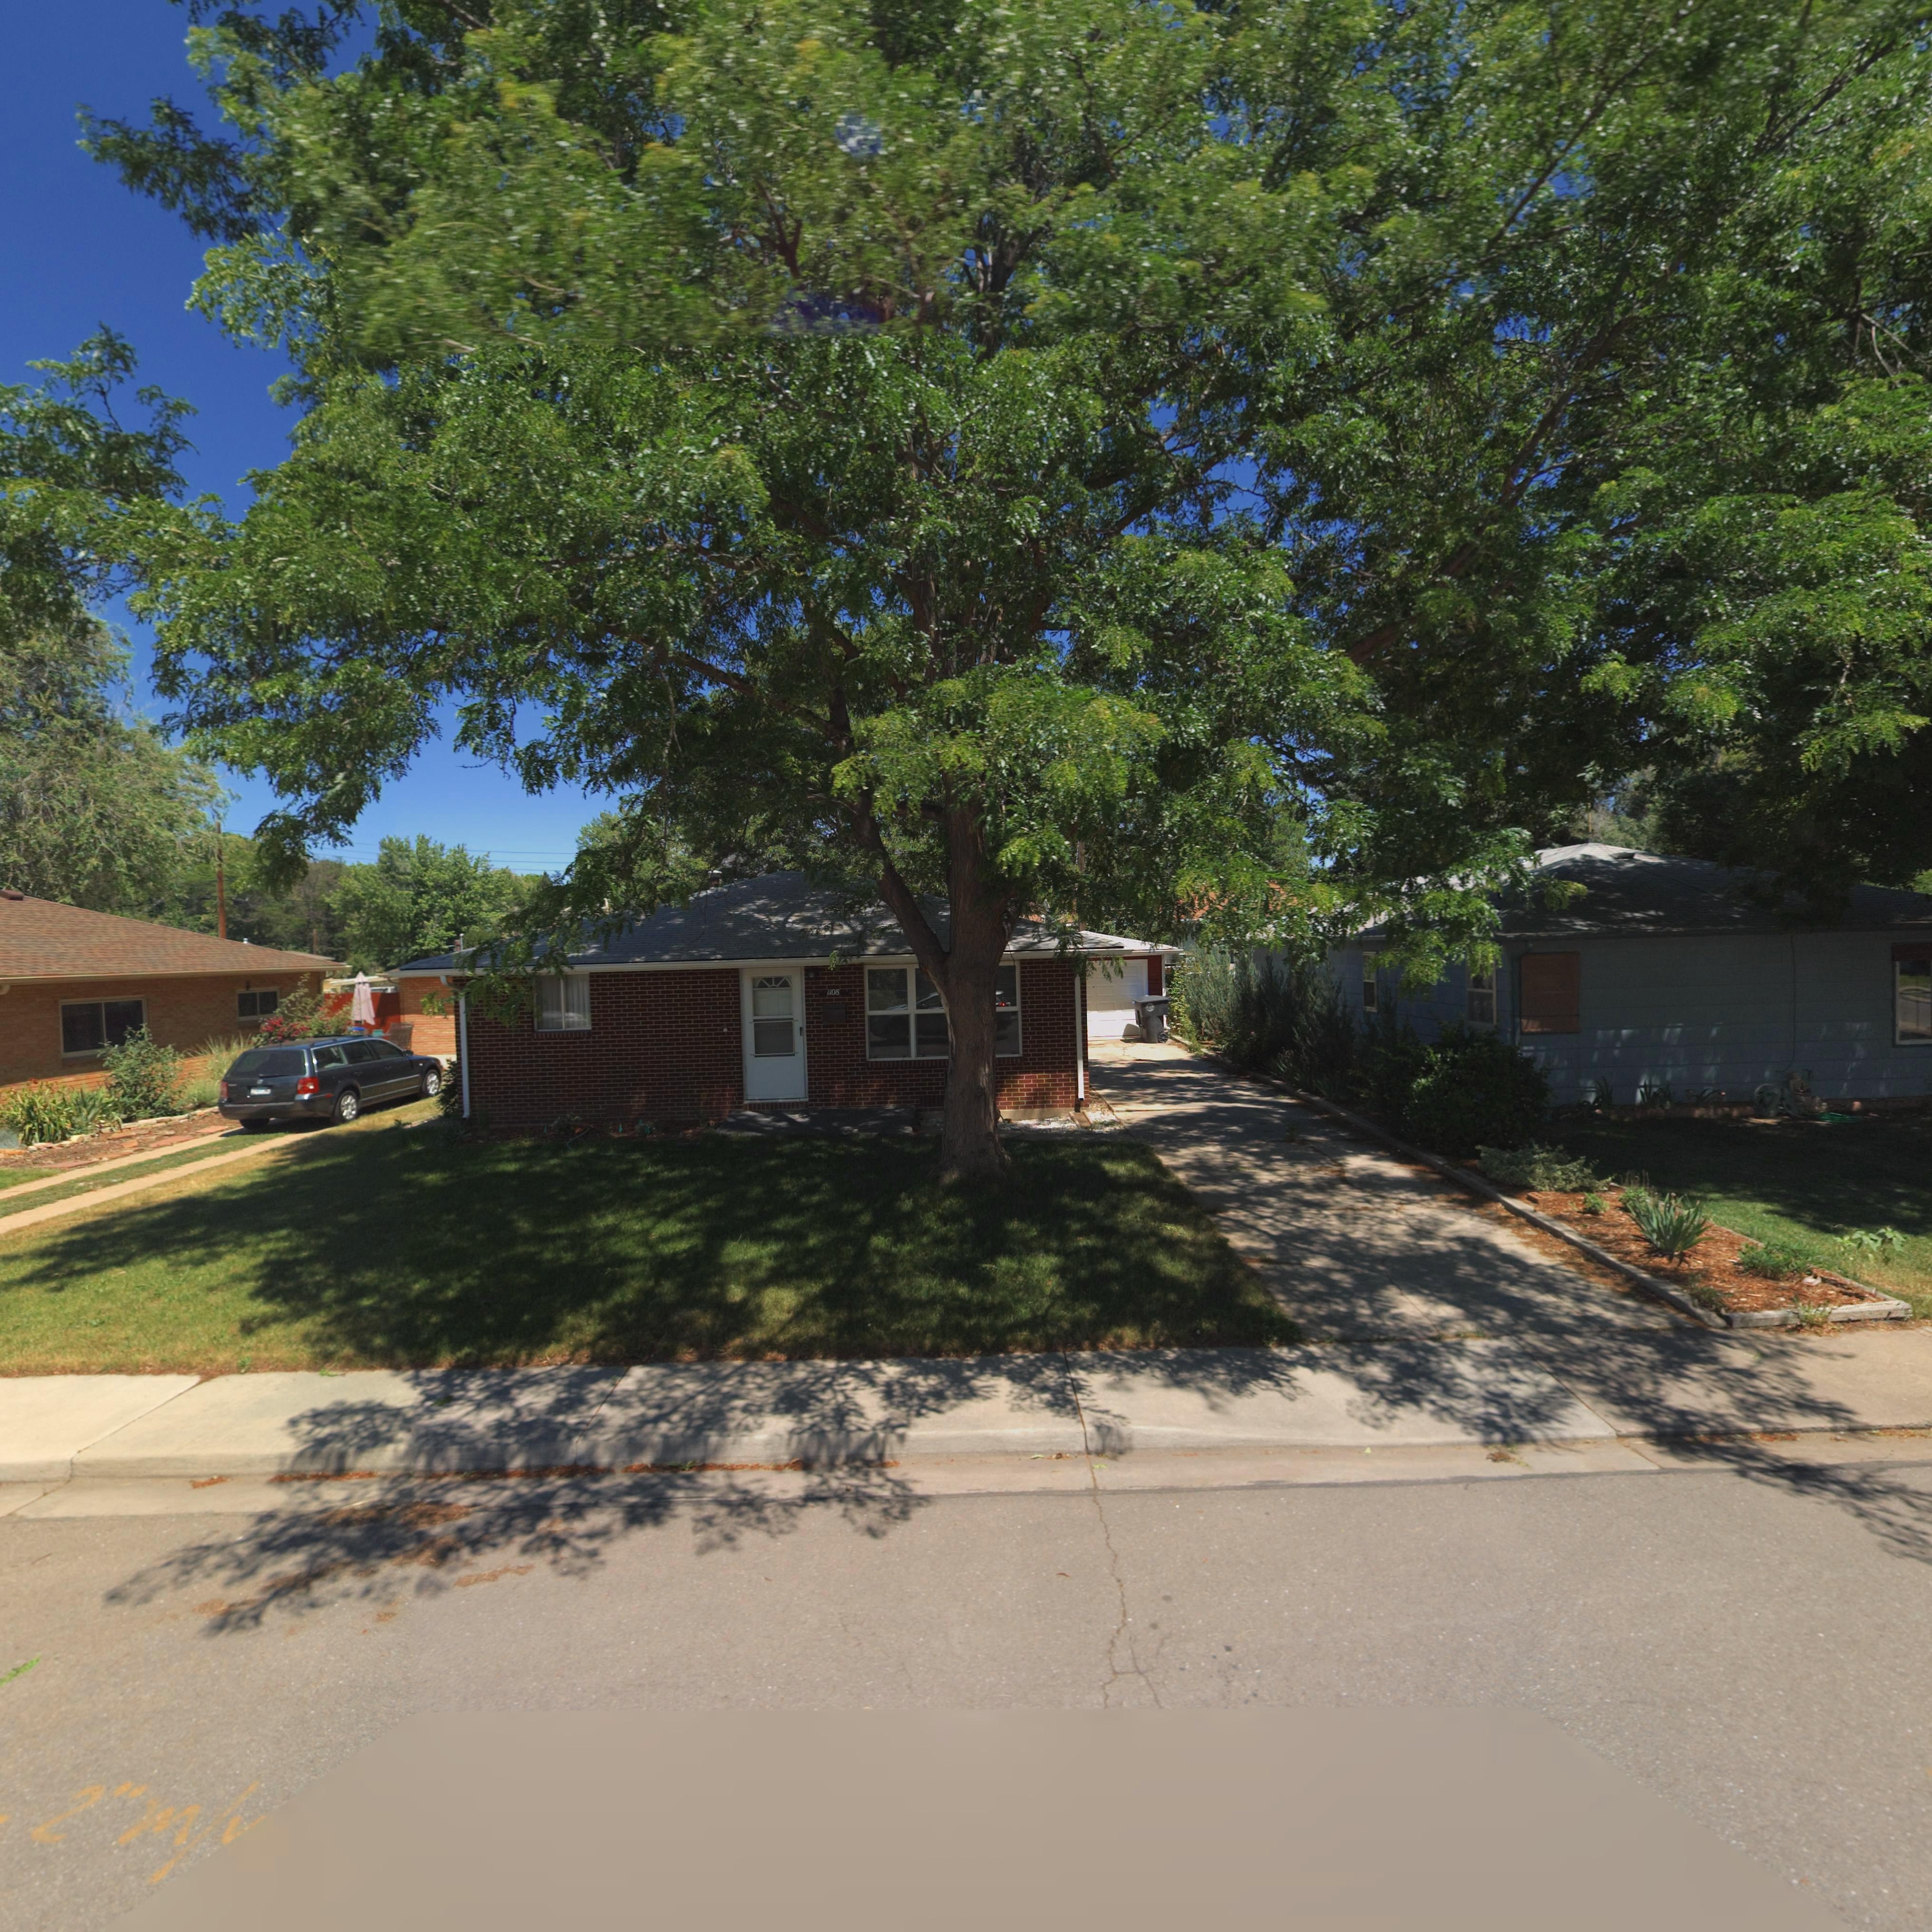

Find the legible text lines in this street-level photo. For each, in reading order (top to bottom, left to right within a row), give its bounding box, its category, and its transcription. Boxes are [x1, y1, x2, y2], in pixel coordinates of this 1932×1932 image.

[826, 988, 840, 995] StreetNumber: 1108